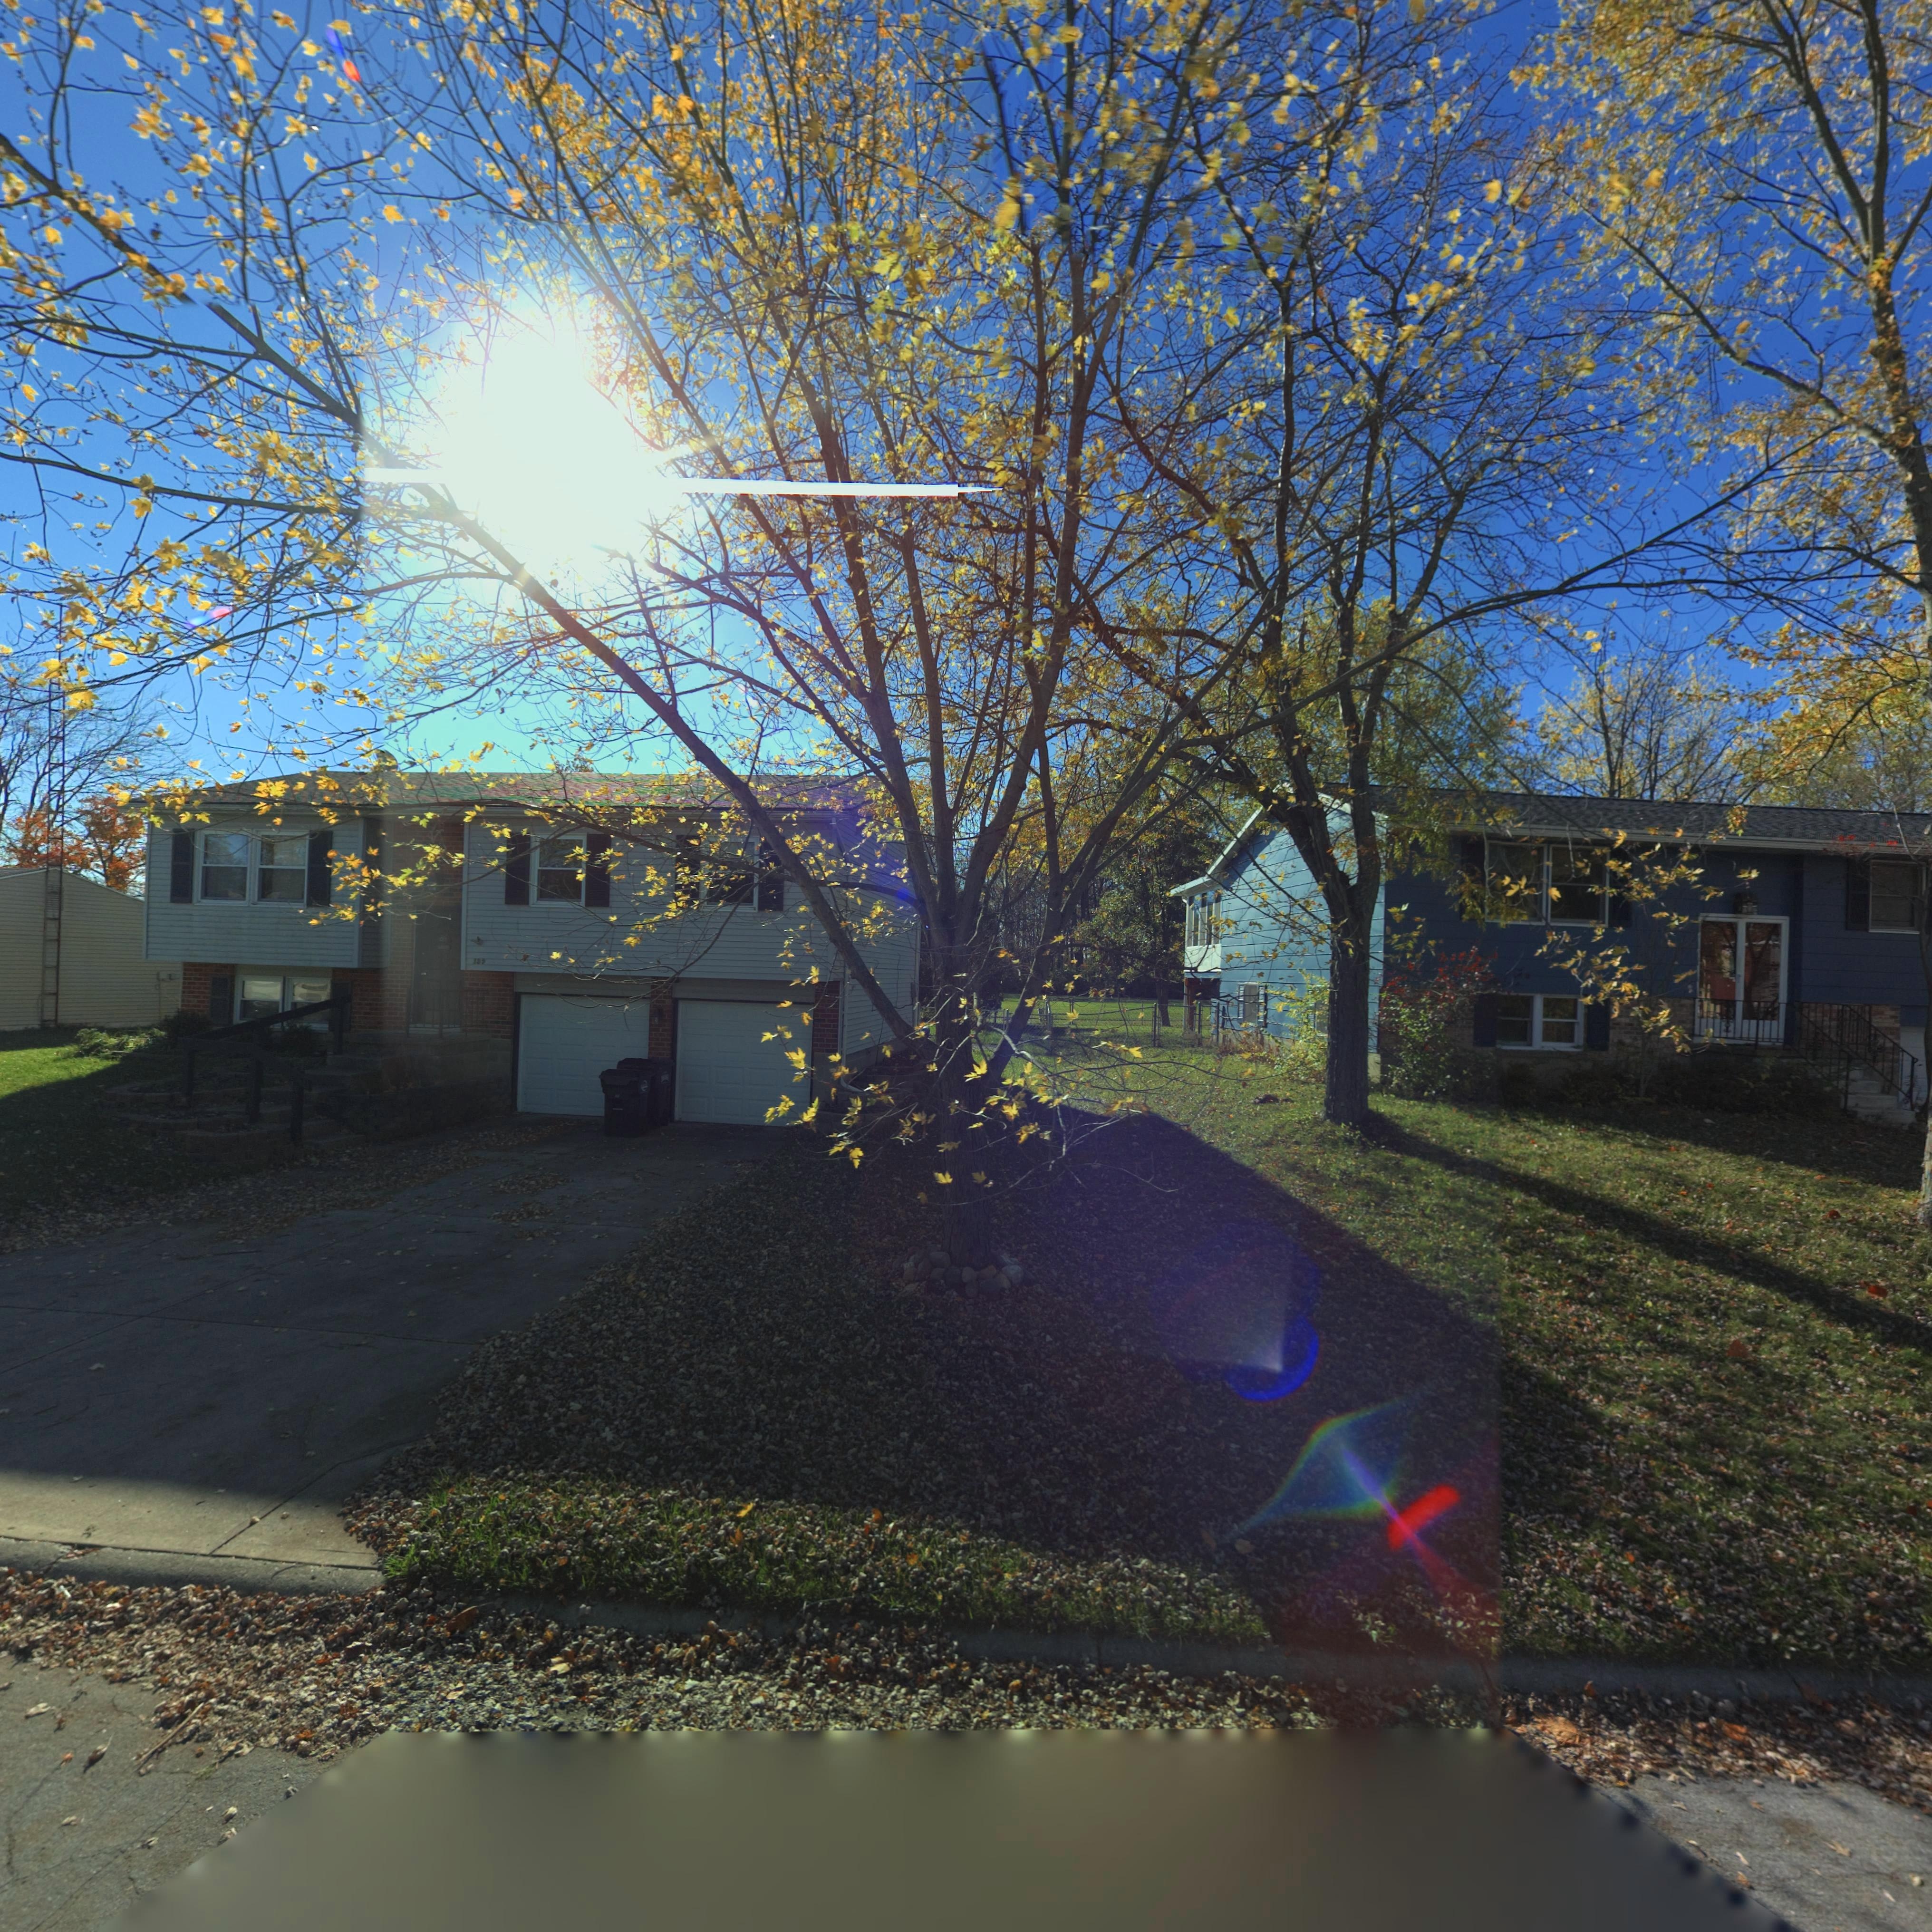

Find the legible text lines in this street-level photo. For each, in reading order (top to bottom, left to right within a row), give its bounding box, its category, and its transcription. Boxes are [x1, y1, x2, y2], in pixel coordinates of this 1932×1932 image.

[472, 957, 486, 965] StreetNumber: 139